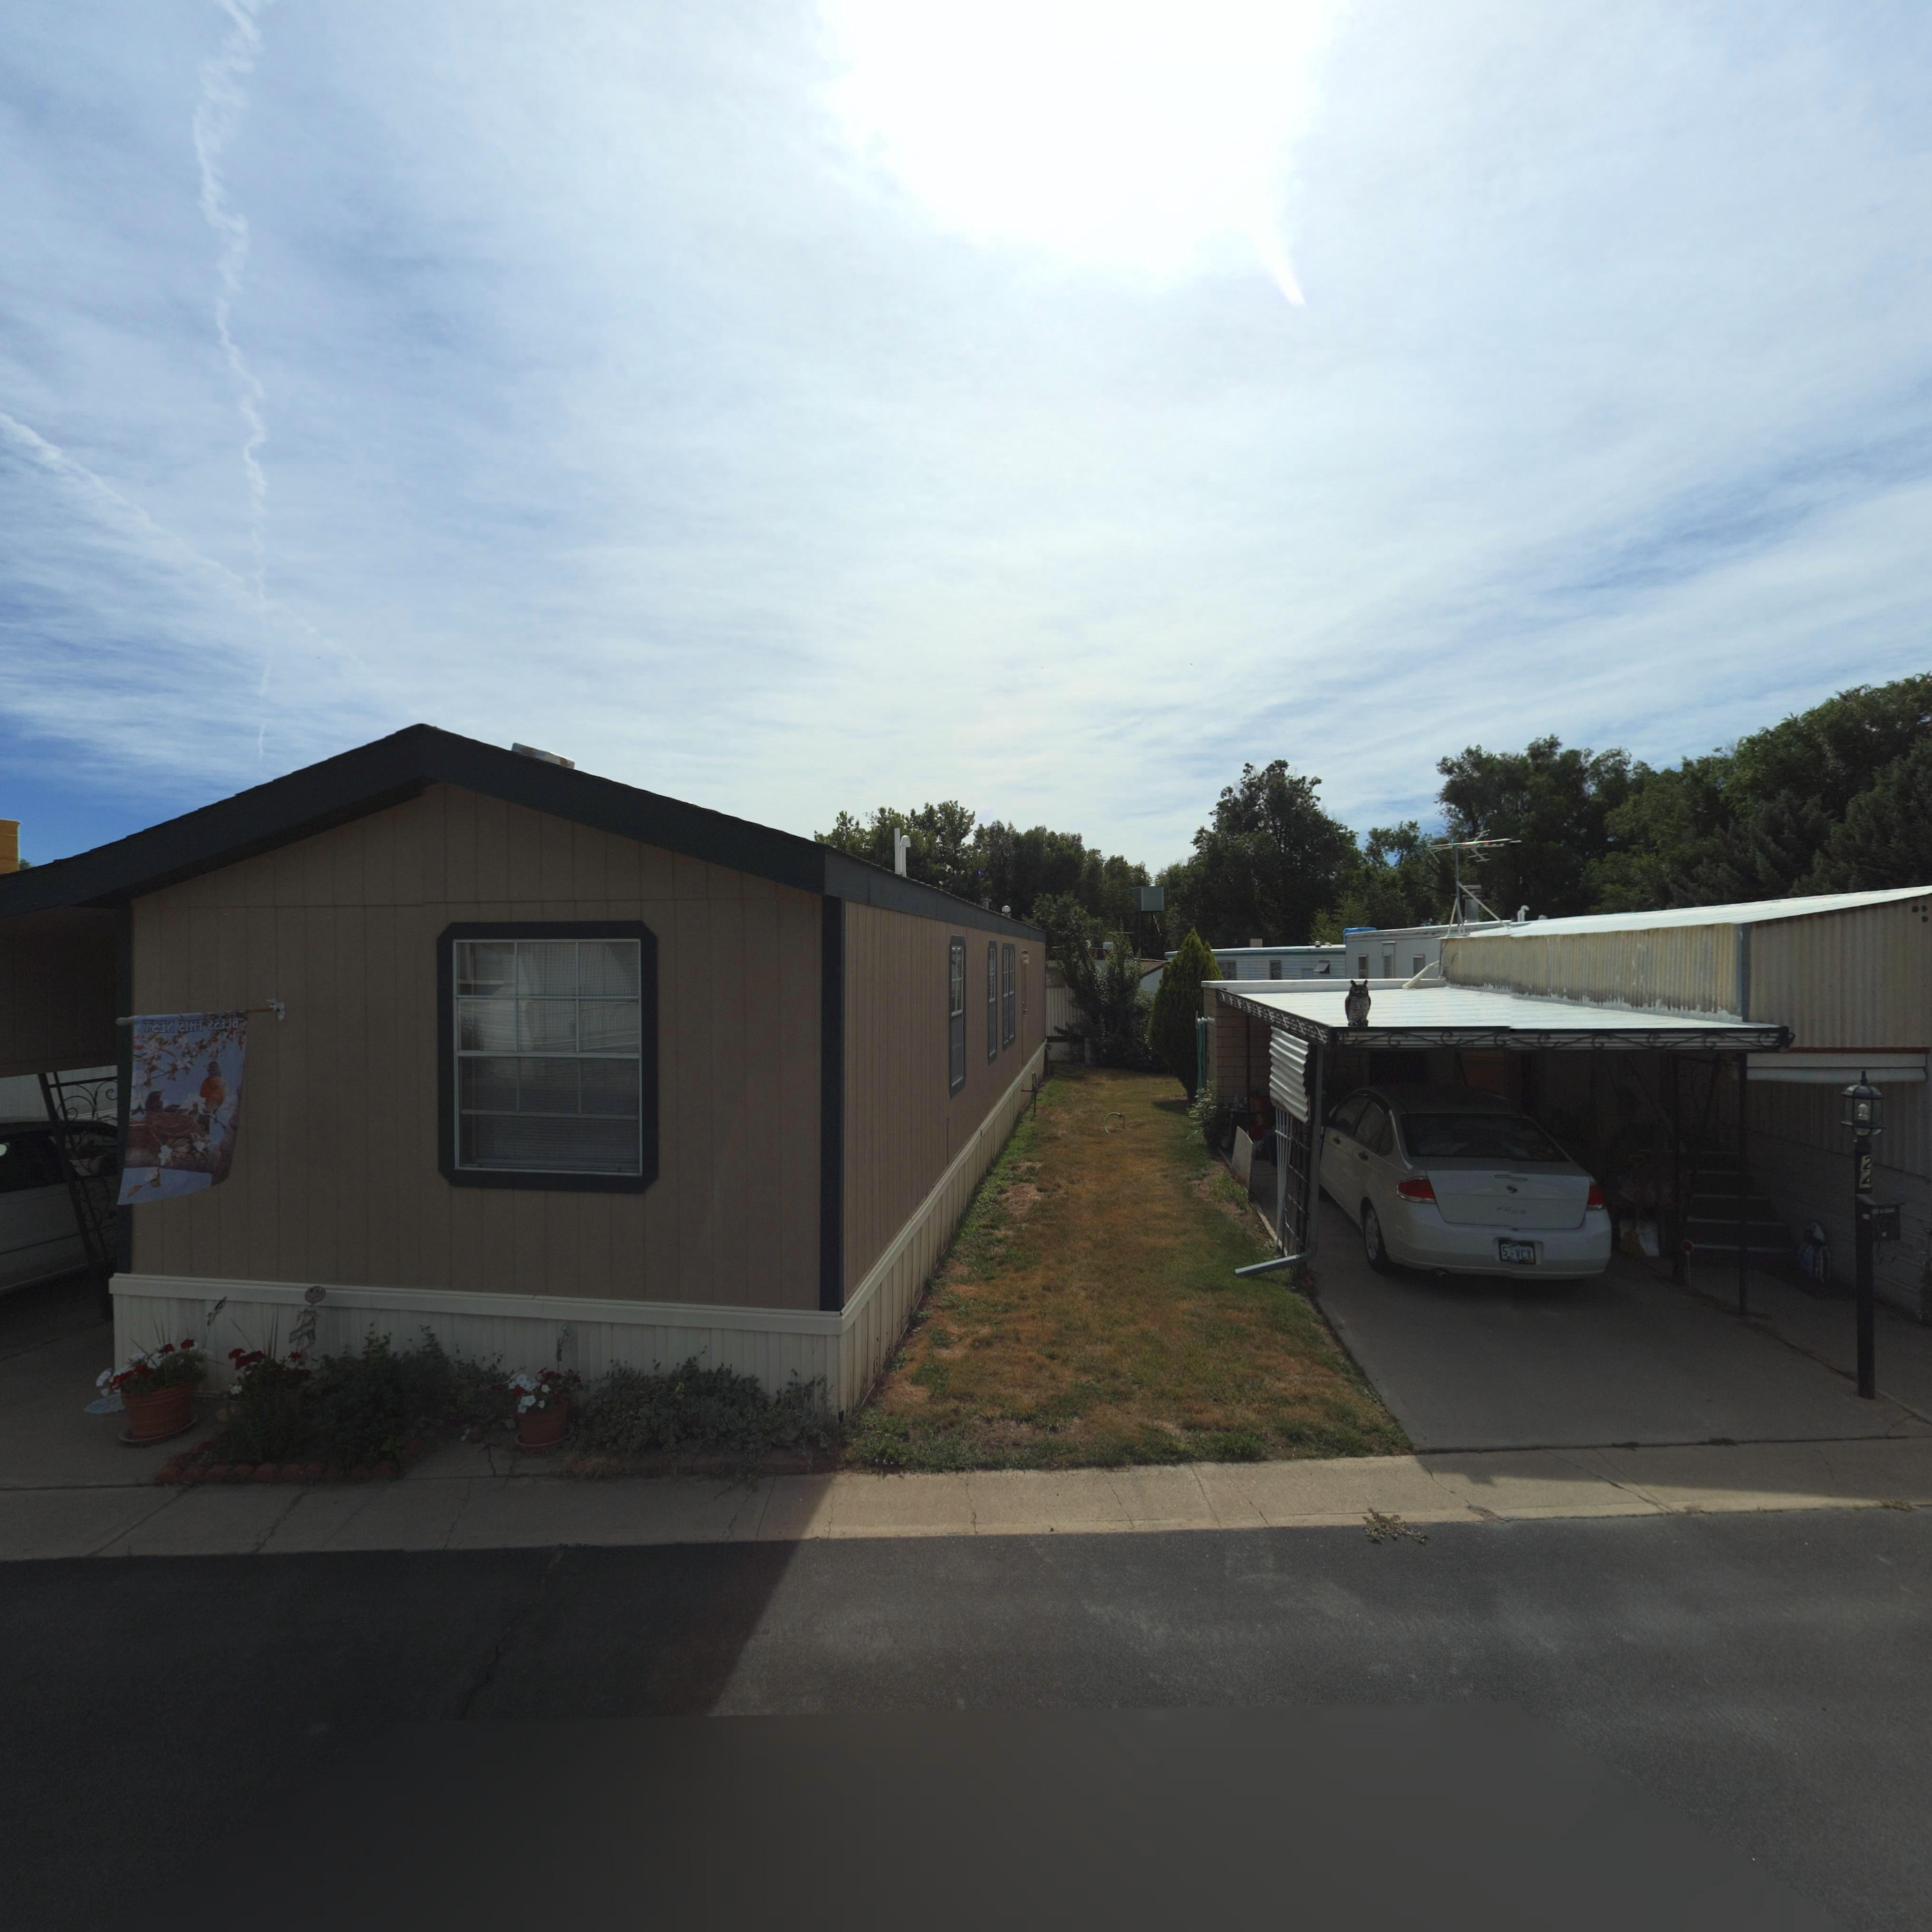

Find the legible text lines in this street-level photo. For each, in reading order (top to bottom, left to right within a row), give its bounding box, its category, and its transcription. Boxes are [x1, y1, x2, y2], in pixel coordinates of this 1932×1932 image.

[1861, 1155, 1873, 1187] StreetNumber: 2*